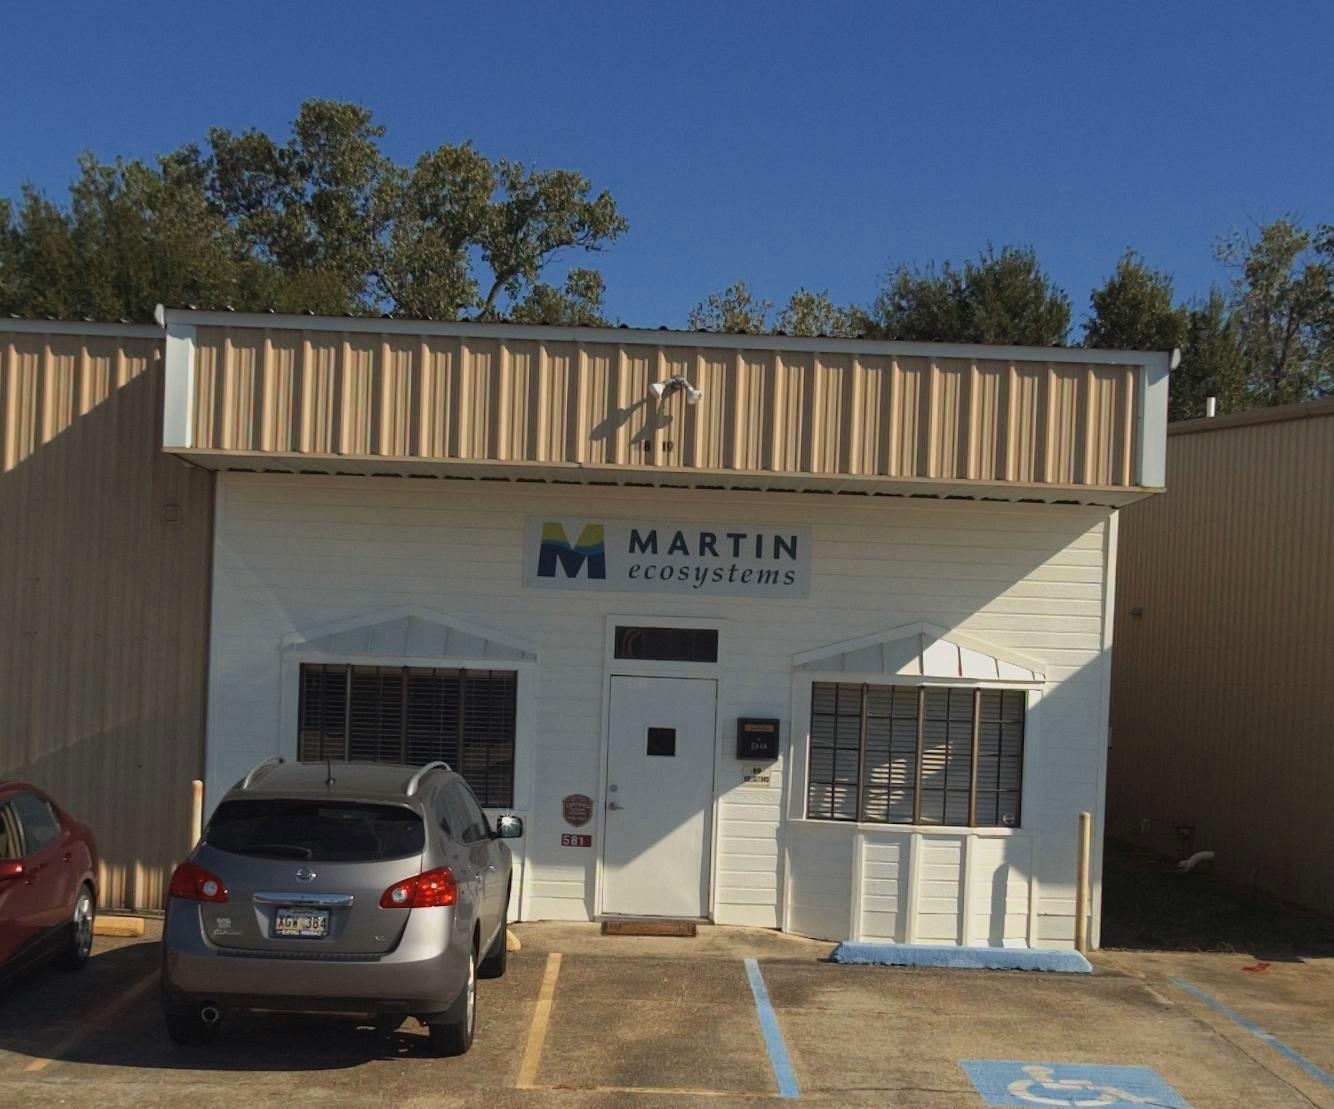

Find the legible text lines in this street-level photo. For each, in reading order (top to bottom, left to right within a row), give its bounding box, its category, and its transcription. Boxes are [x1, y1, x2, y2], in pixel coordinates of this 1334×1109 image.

[534, 518, 608, 582] None: M
[626, 526, 799, 563] BusinessName: MARTIN
[625, 560, 798, 592] BusinessName: ecosystems
[561, 833, 585, 848] StreetNumber: 581'
[276, 912, 328, 931] None: Xgw 364